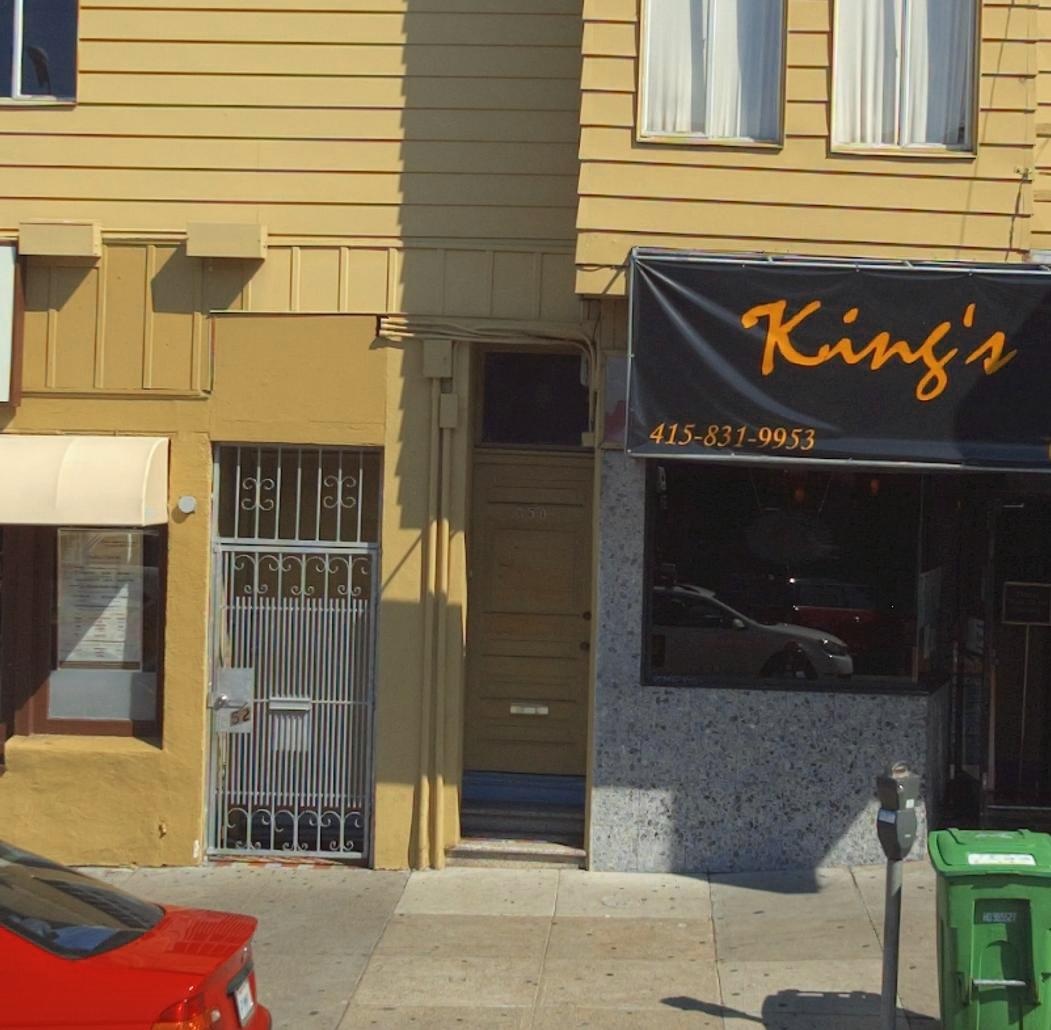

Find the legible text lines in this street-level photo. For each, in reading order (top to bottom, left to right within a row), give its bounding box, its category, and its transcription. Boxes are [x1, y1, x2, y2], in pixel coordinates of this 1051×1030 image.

[736, 295, 1022, 406] BusinessName: King's
[643, 419, 817, 451] None: 415-831-9953
[514, 506, 551, 520] StreetNumber: 350